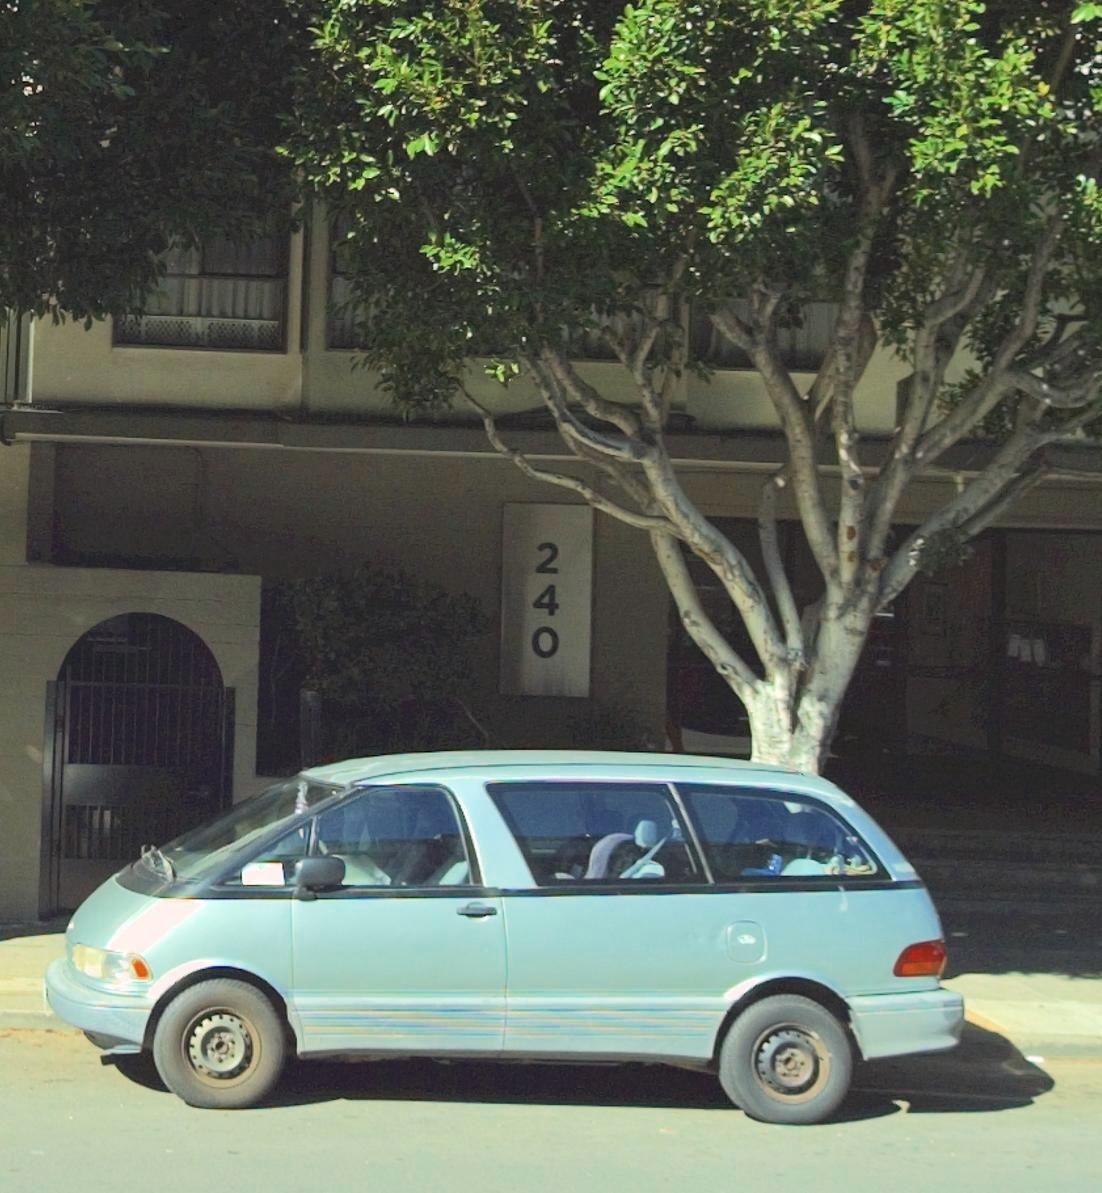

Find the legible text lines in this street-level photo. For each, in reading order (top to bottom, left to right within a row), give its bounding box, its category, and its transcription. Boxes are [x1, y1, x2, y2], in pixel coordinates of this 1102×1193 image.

[529, 539, 562, 661] StreetNumber: 240